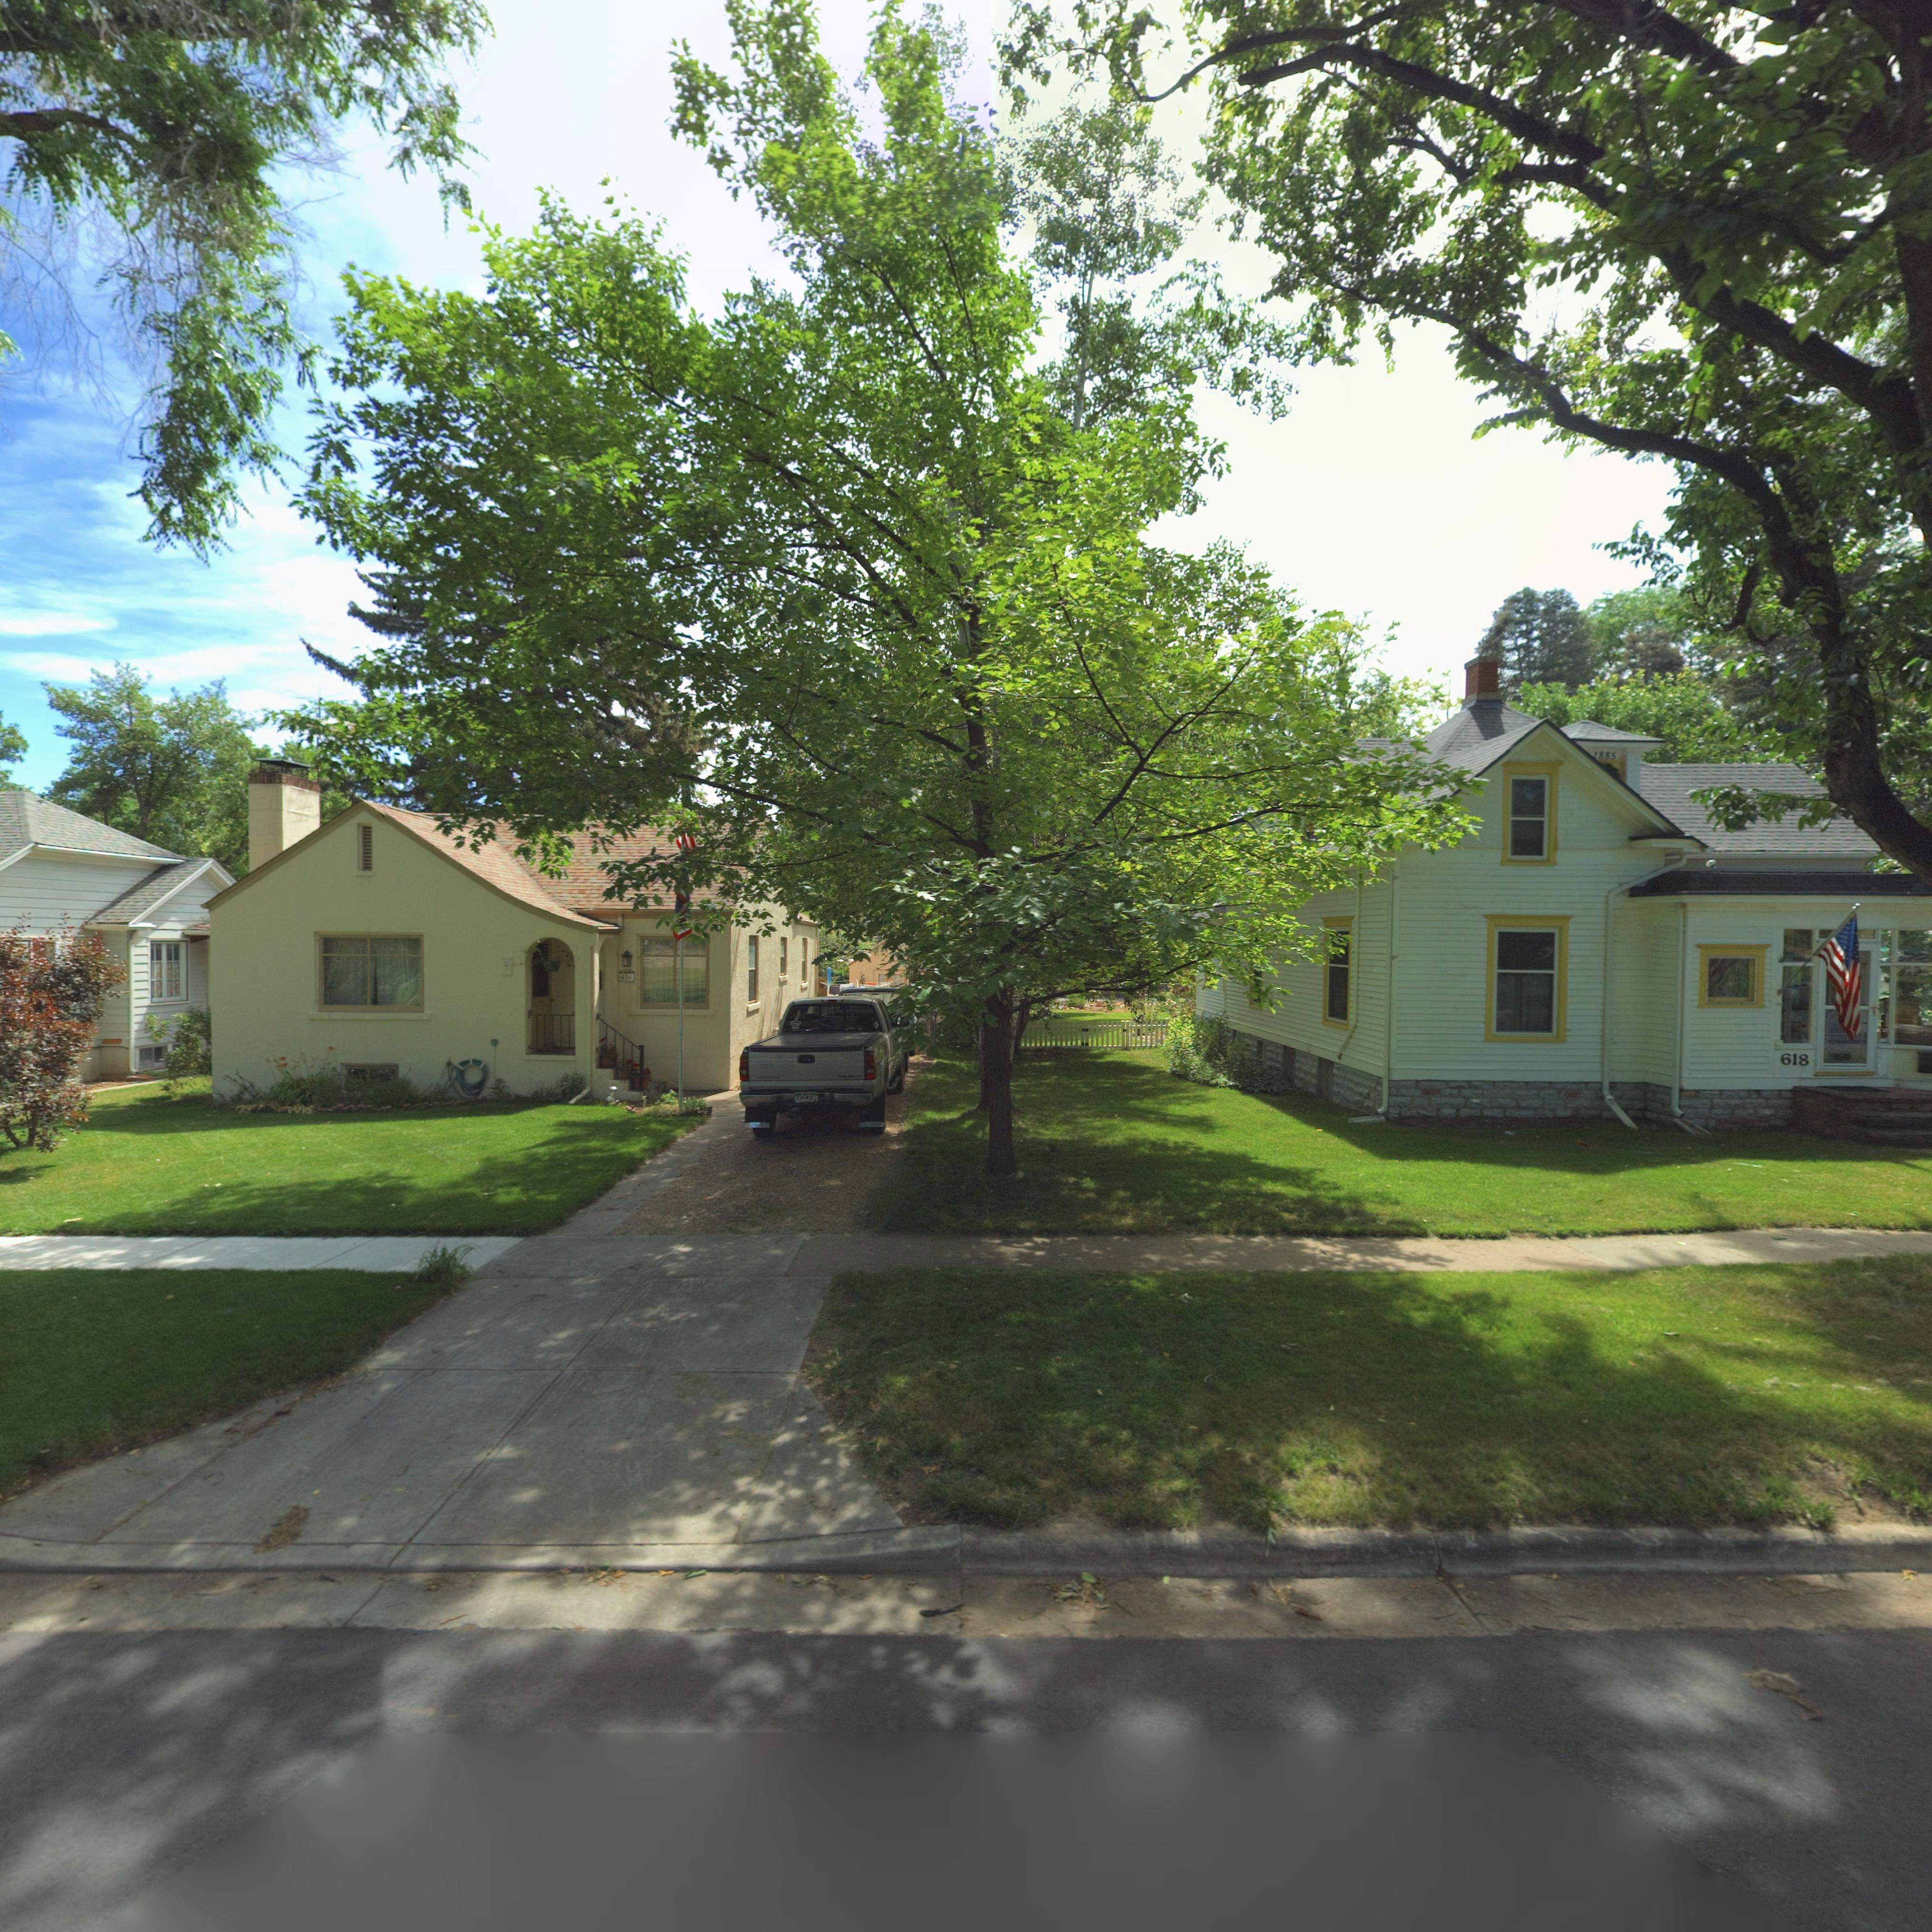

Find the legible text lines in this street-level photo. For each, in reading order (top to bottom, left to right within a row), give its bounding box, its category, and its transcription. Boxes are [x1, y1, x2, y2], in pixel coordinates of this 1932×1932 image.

[620, 974, 633, 980] StreetNumber: 626
[1779, 1053, 1810, 1066] StreetNumber: 618